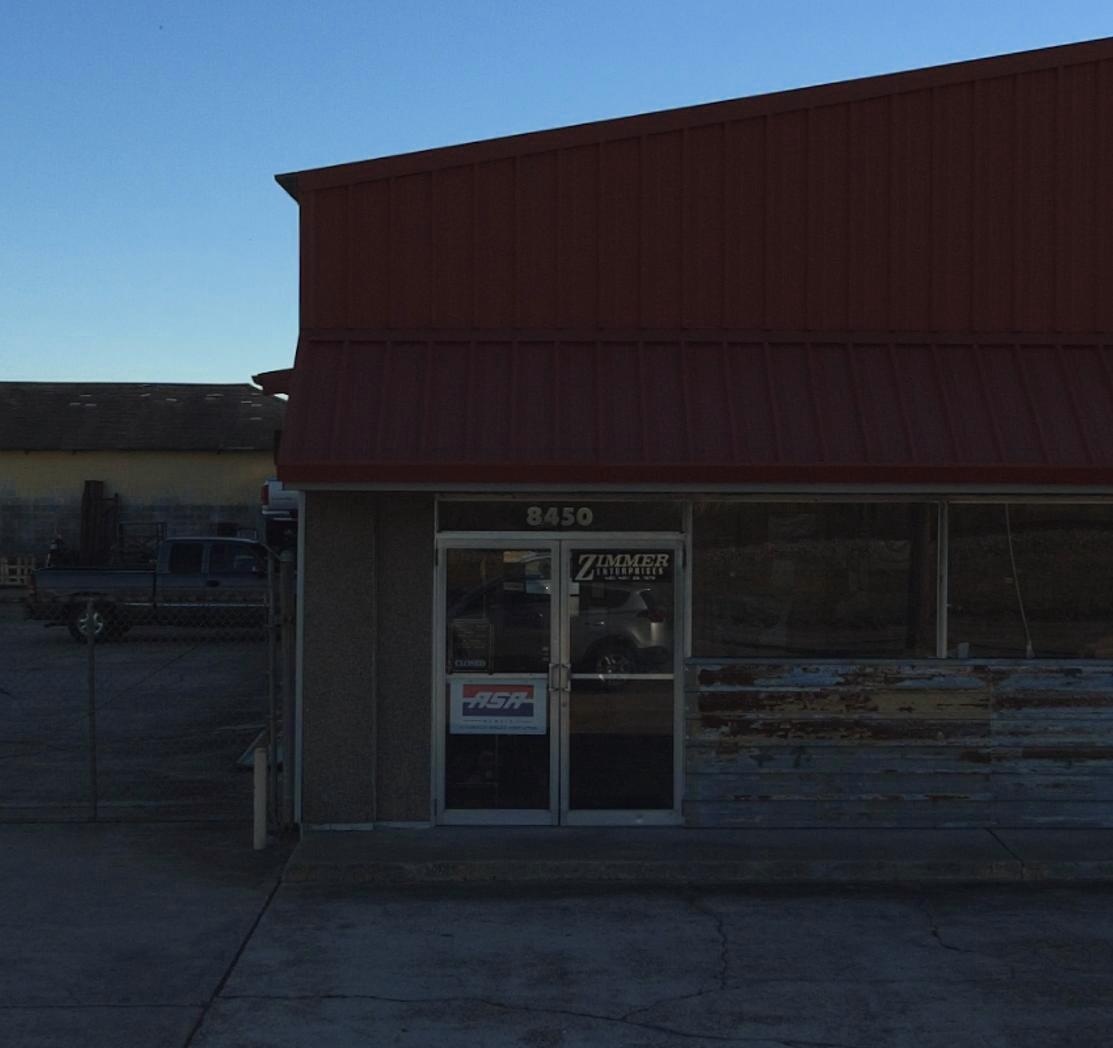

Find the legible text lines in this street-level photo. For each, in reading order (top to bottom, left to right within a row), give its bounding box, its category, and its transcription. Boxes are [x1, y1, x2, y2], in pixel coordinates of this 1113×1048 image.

[525, 506, 594, 527] StreetNumber: 8450
[574, 554, 598, 581] BusinessName: Z
[595, 567, 664, 576] BusinessName: *NTERPRISES
[595, 553, 670, 567] BusinessName: IMMER
[453, 659, 486, 667] None: CLOSED
[466, 691, 529, 709] None: ASA